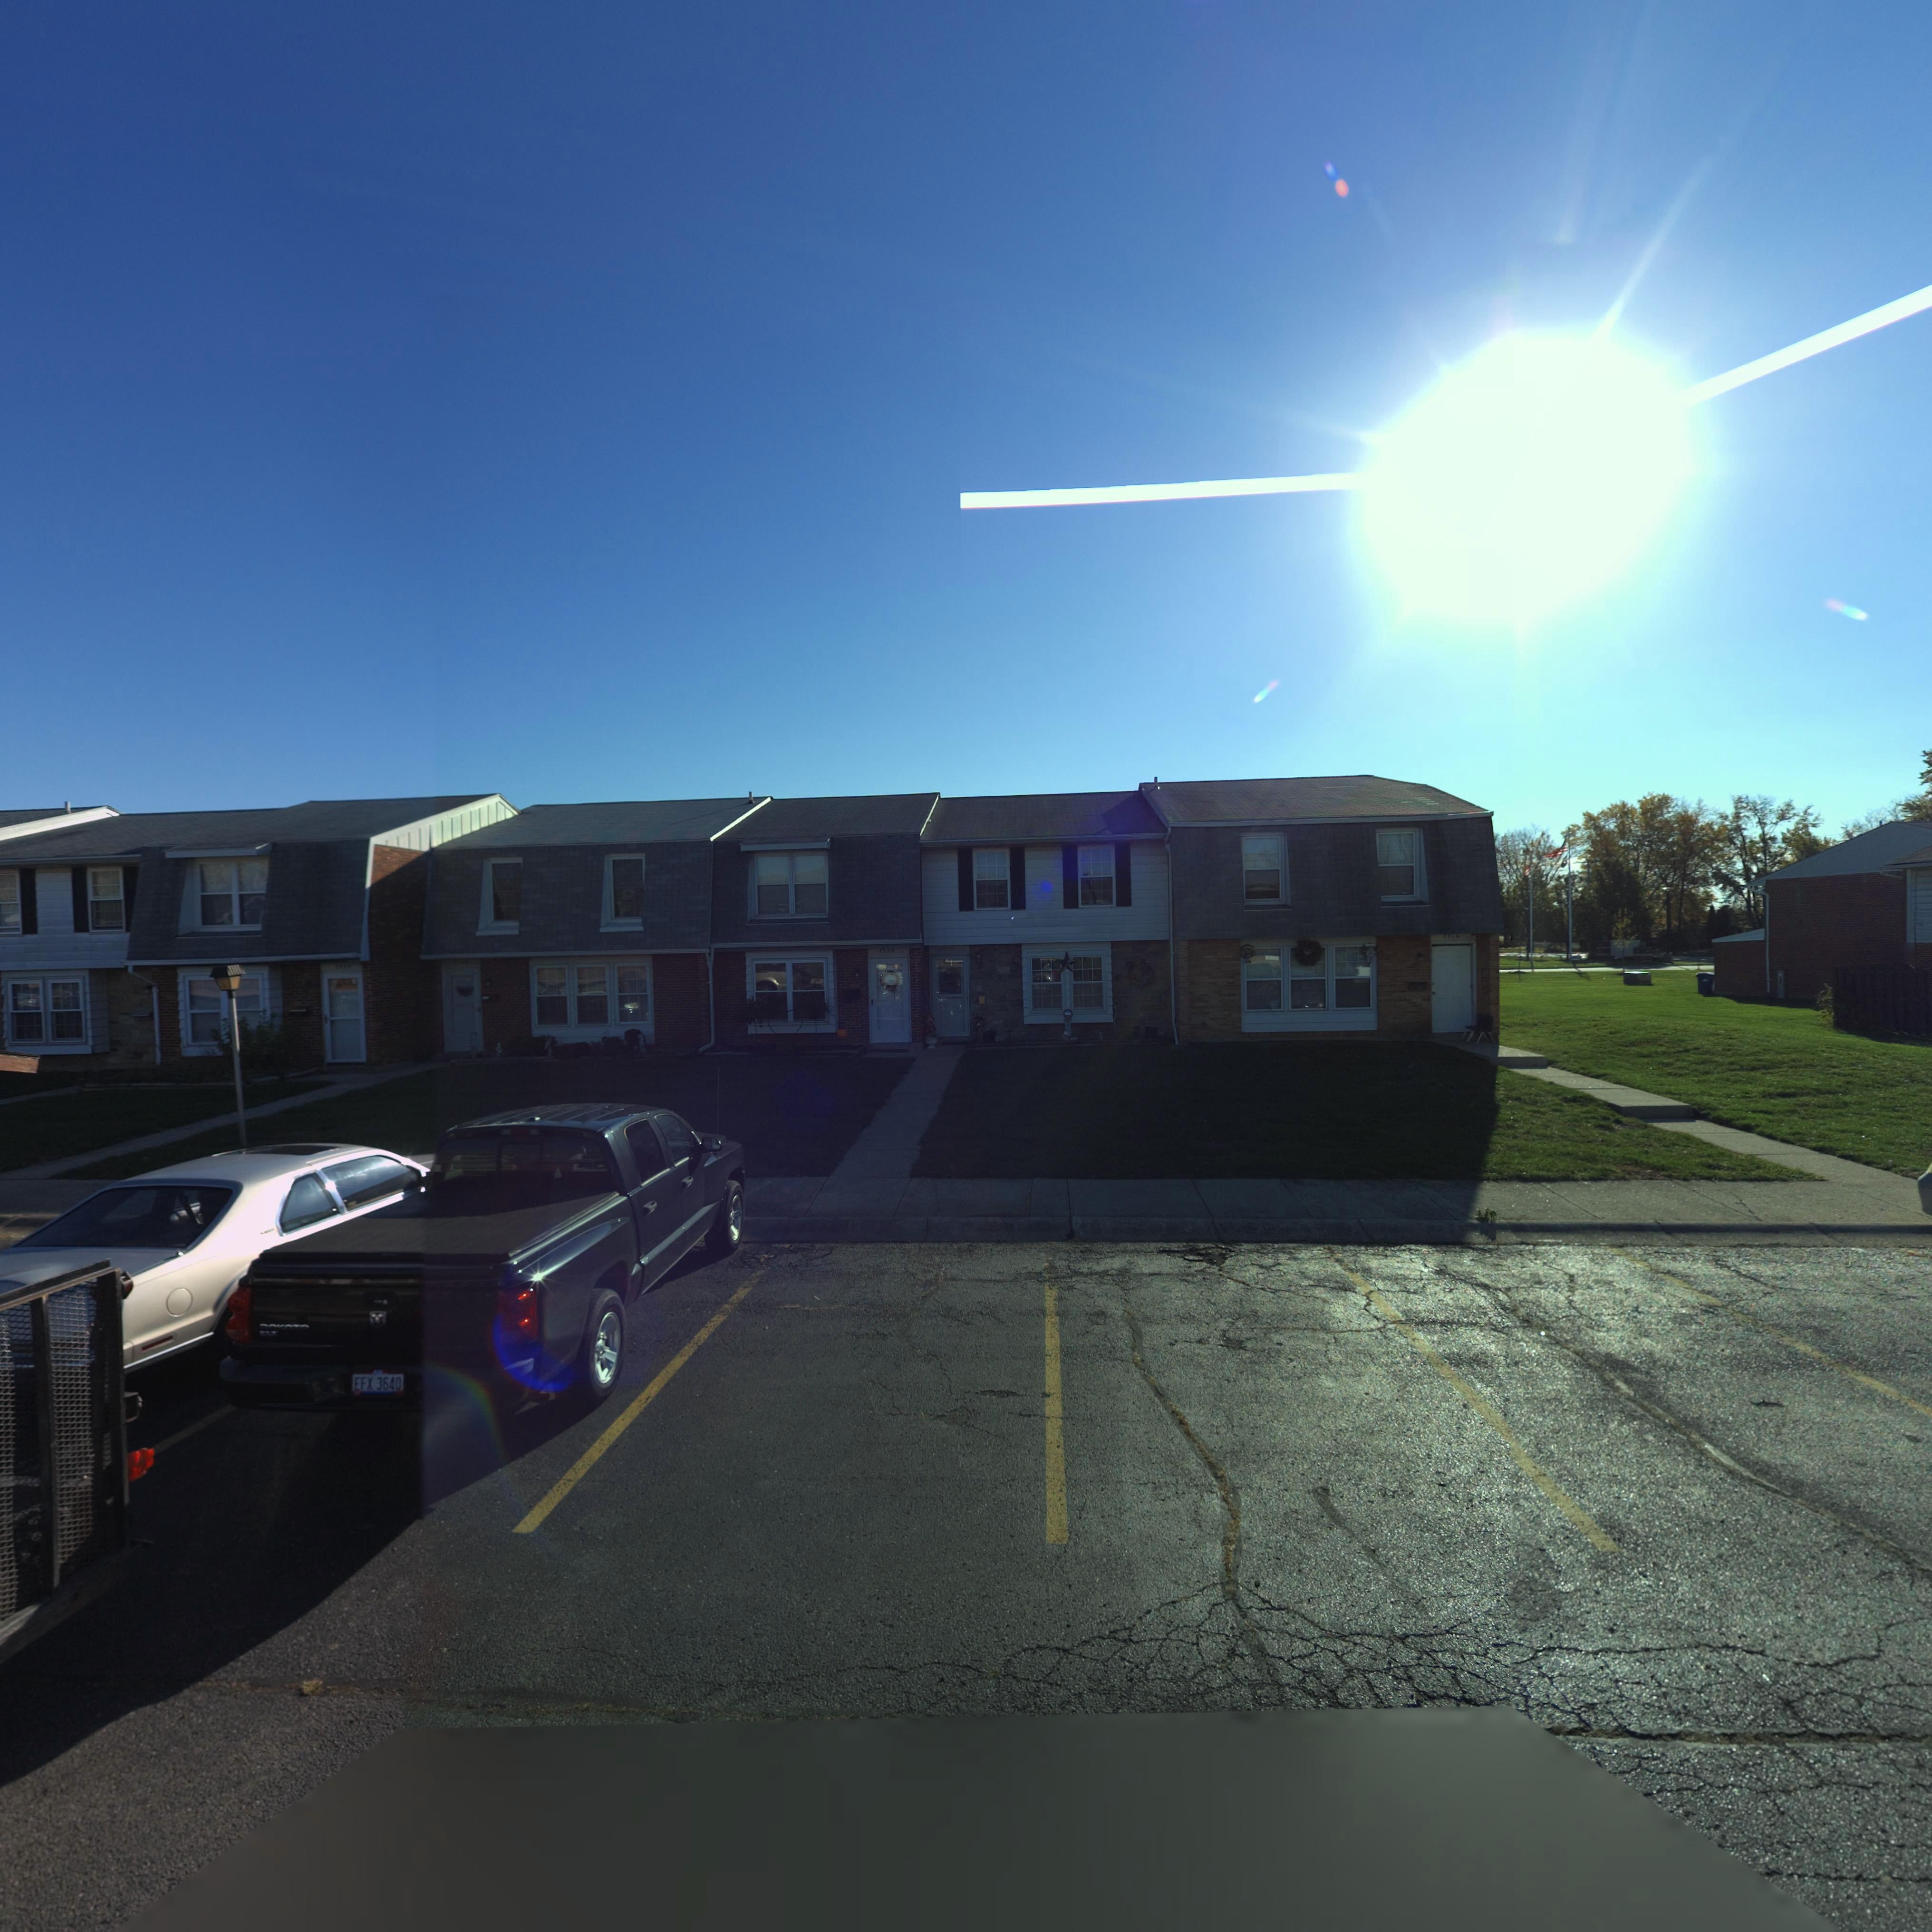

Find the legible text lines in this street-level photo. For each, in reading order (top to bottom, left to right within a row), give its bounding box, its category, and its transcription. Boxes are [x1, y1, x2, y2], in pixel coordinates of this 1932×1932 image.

[1442, 933, 1460, 939] StreetNumber: 7516
[879, 947, 894, 953] StreetNumber: 7520
[941, 946, 954, 951] StreetNumber: 7518
[333, 962, 348, 970] StreetNumber: 750